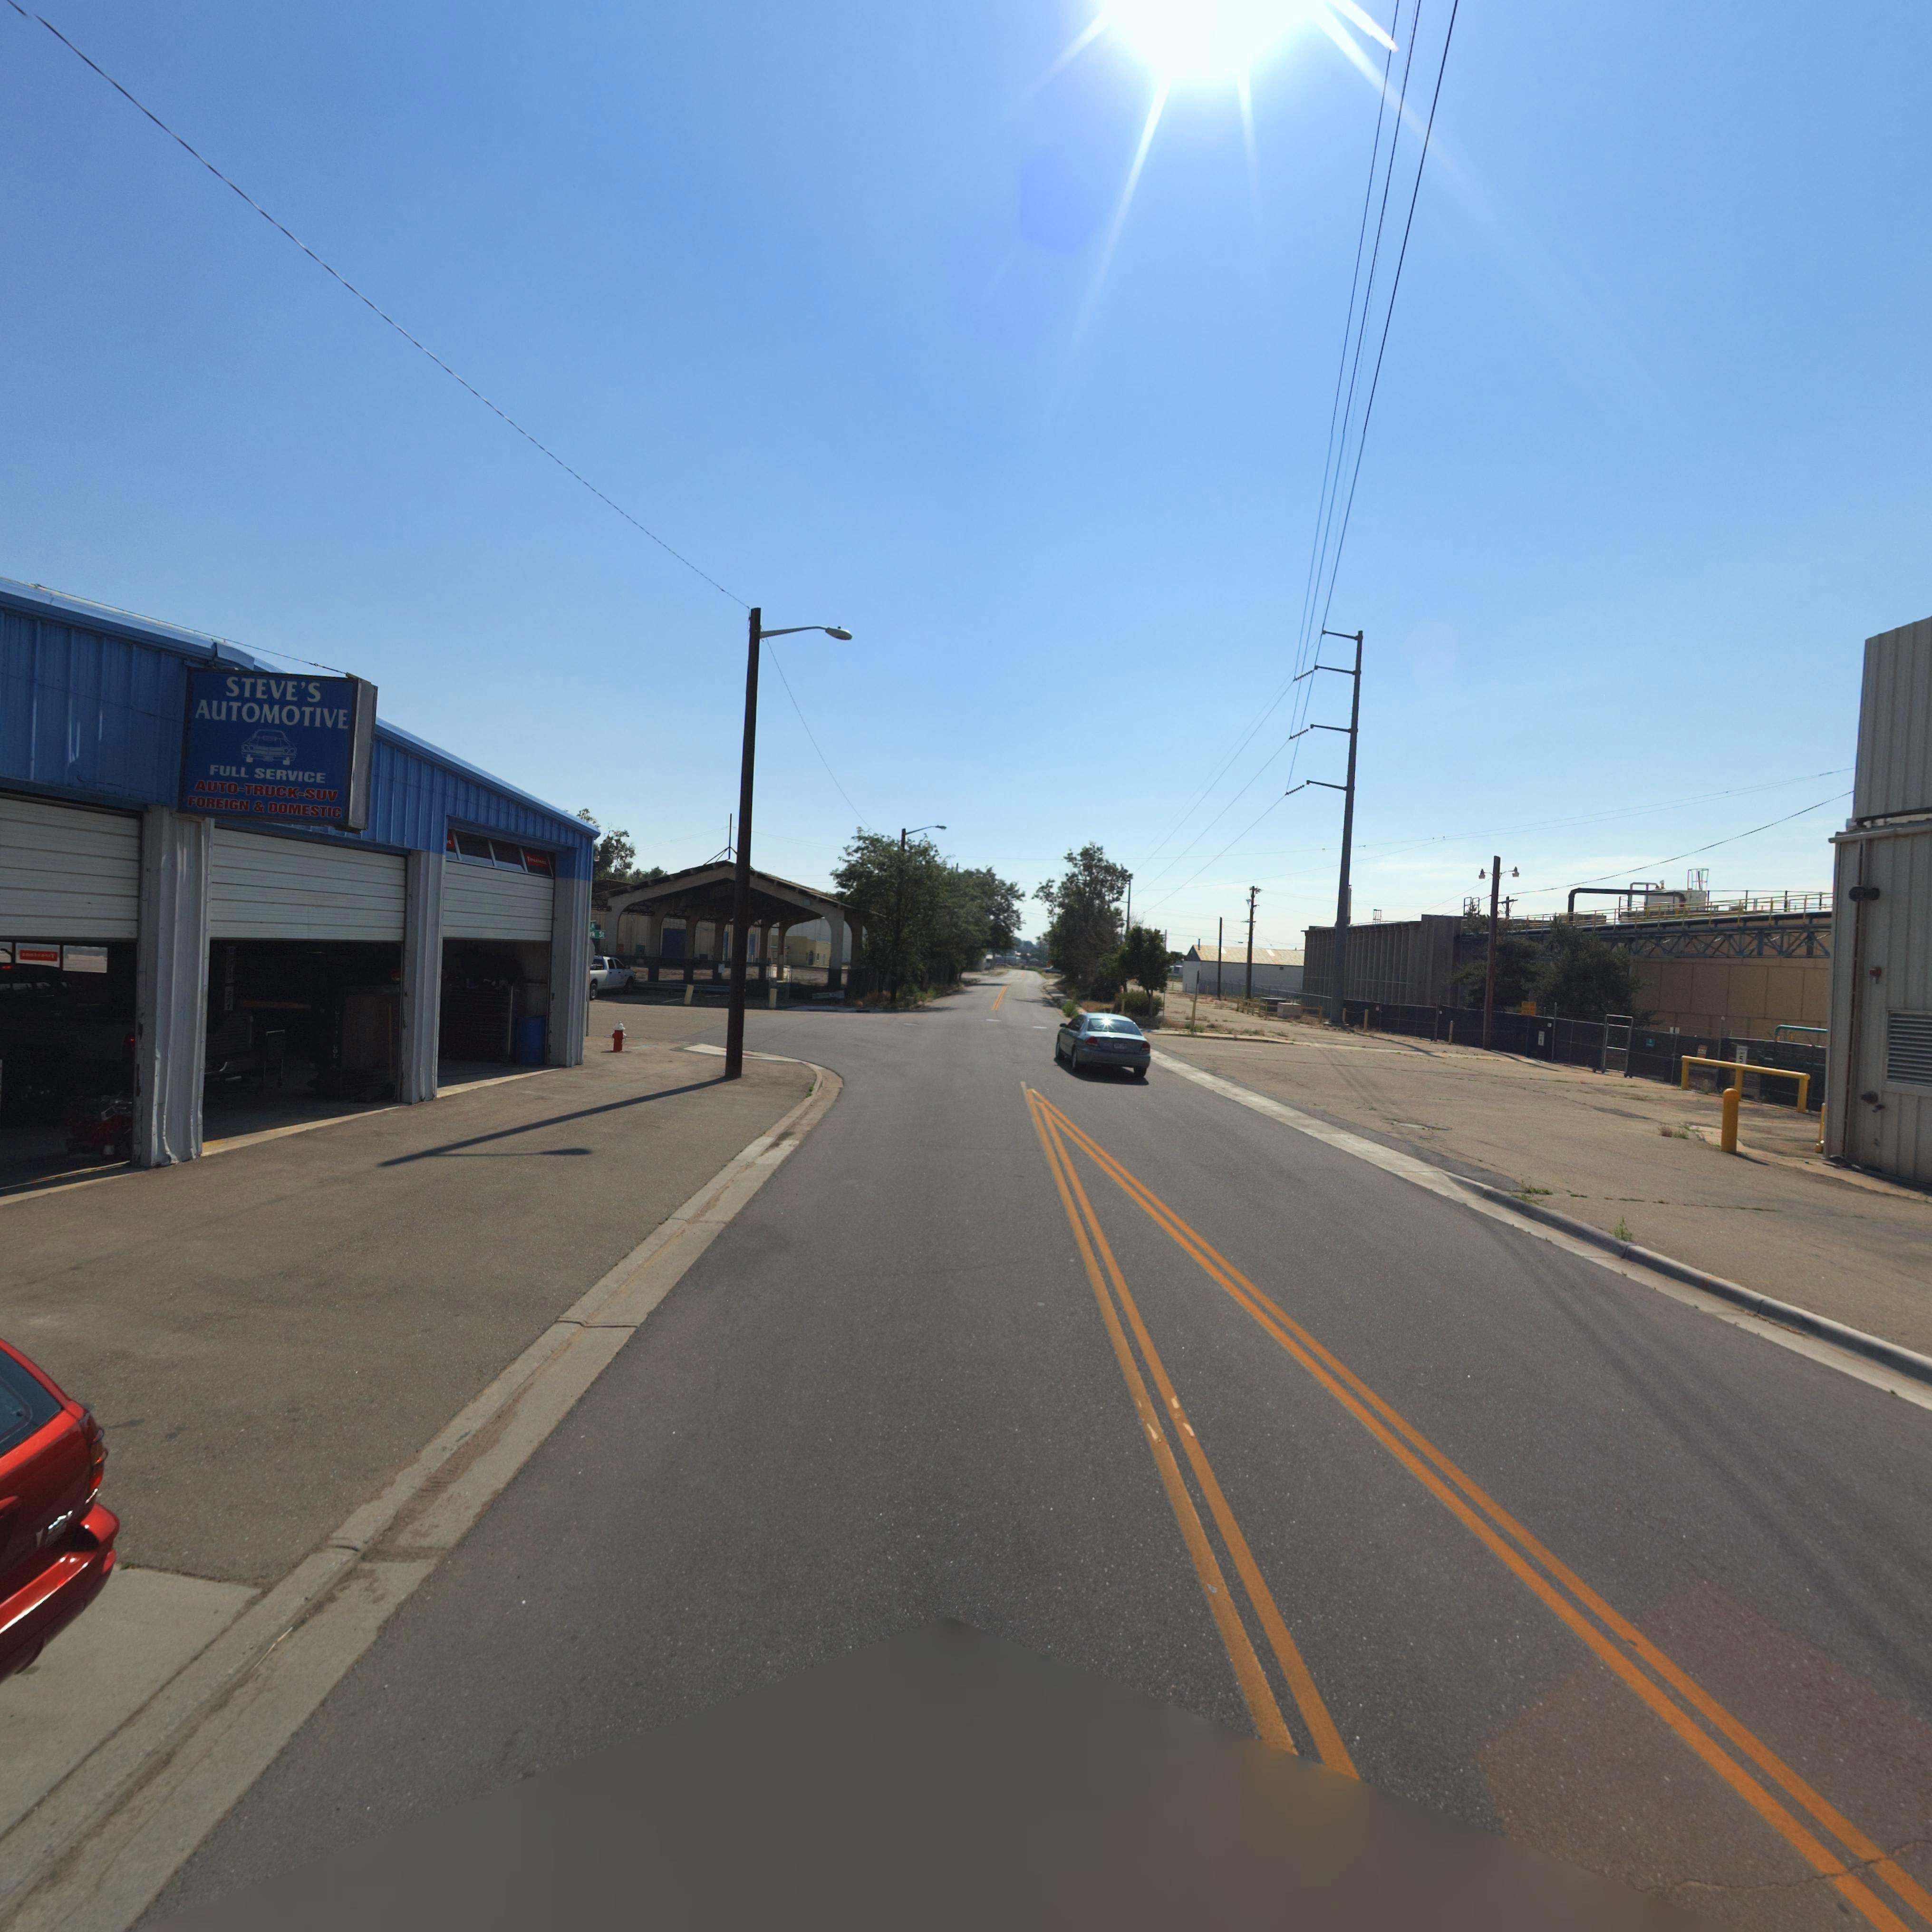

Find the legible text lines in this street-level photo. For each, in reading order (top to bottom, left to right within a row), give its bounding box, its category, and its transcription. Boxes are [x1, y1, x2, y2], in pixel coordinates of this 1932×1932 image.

[224, 675, 322, 703] BusinessName: STEVE'S
[193, 696, 349, 730] BusinessName: AUTOMOTIVE
[589, 930, 605, 937] StreetName: rk St